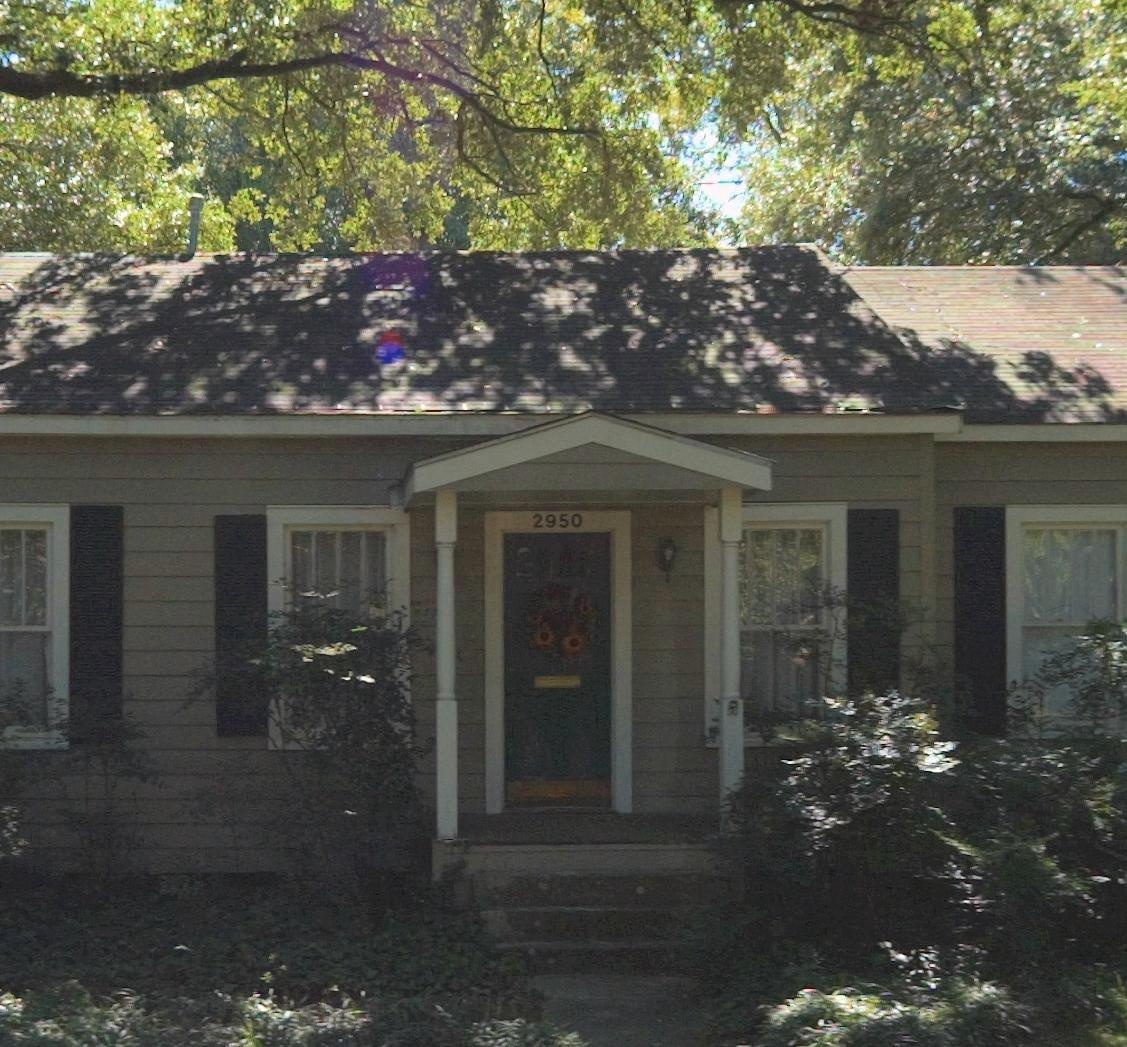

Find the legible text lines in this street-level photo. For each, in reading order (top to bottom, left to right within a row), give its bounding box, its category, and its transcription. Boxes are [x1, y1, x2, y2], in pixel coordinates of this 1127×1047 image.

[531, 511, 586, 530] StreetNumber: 2950